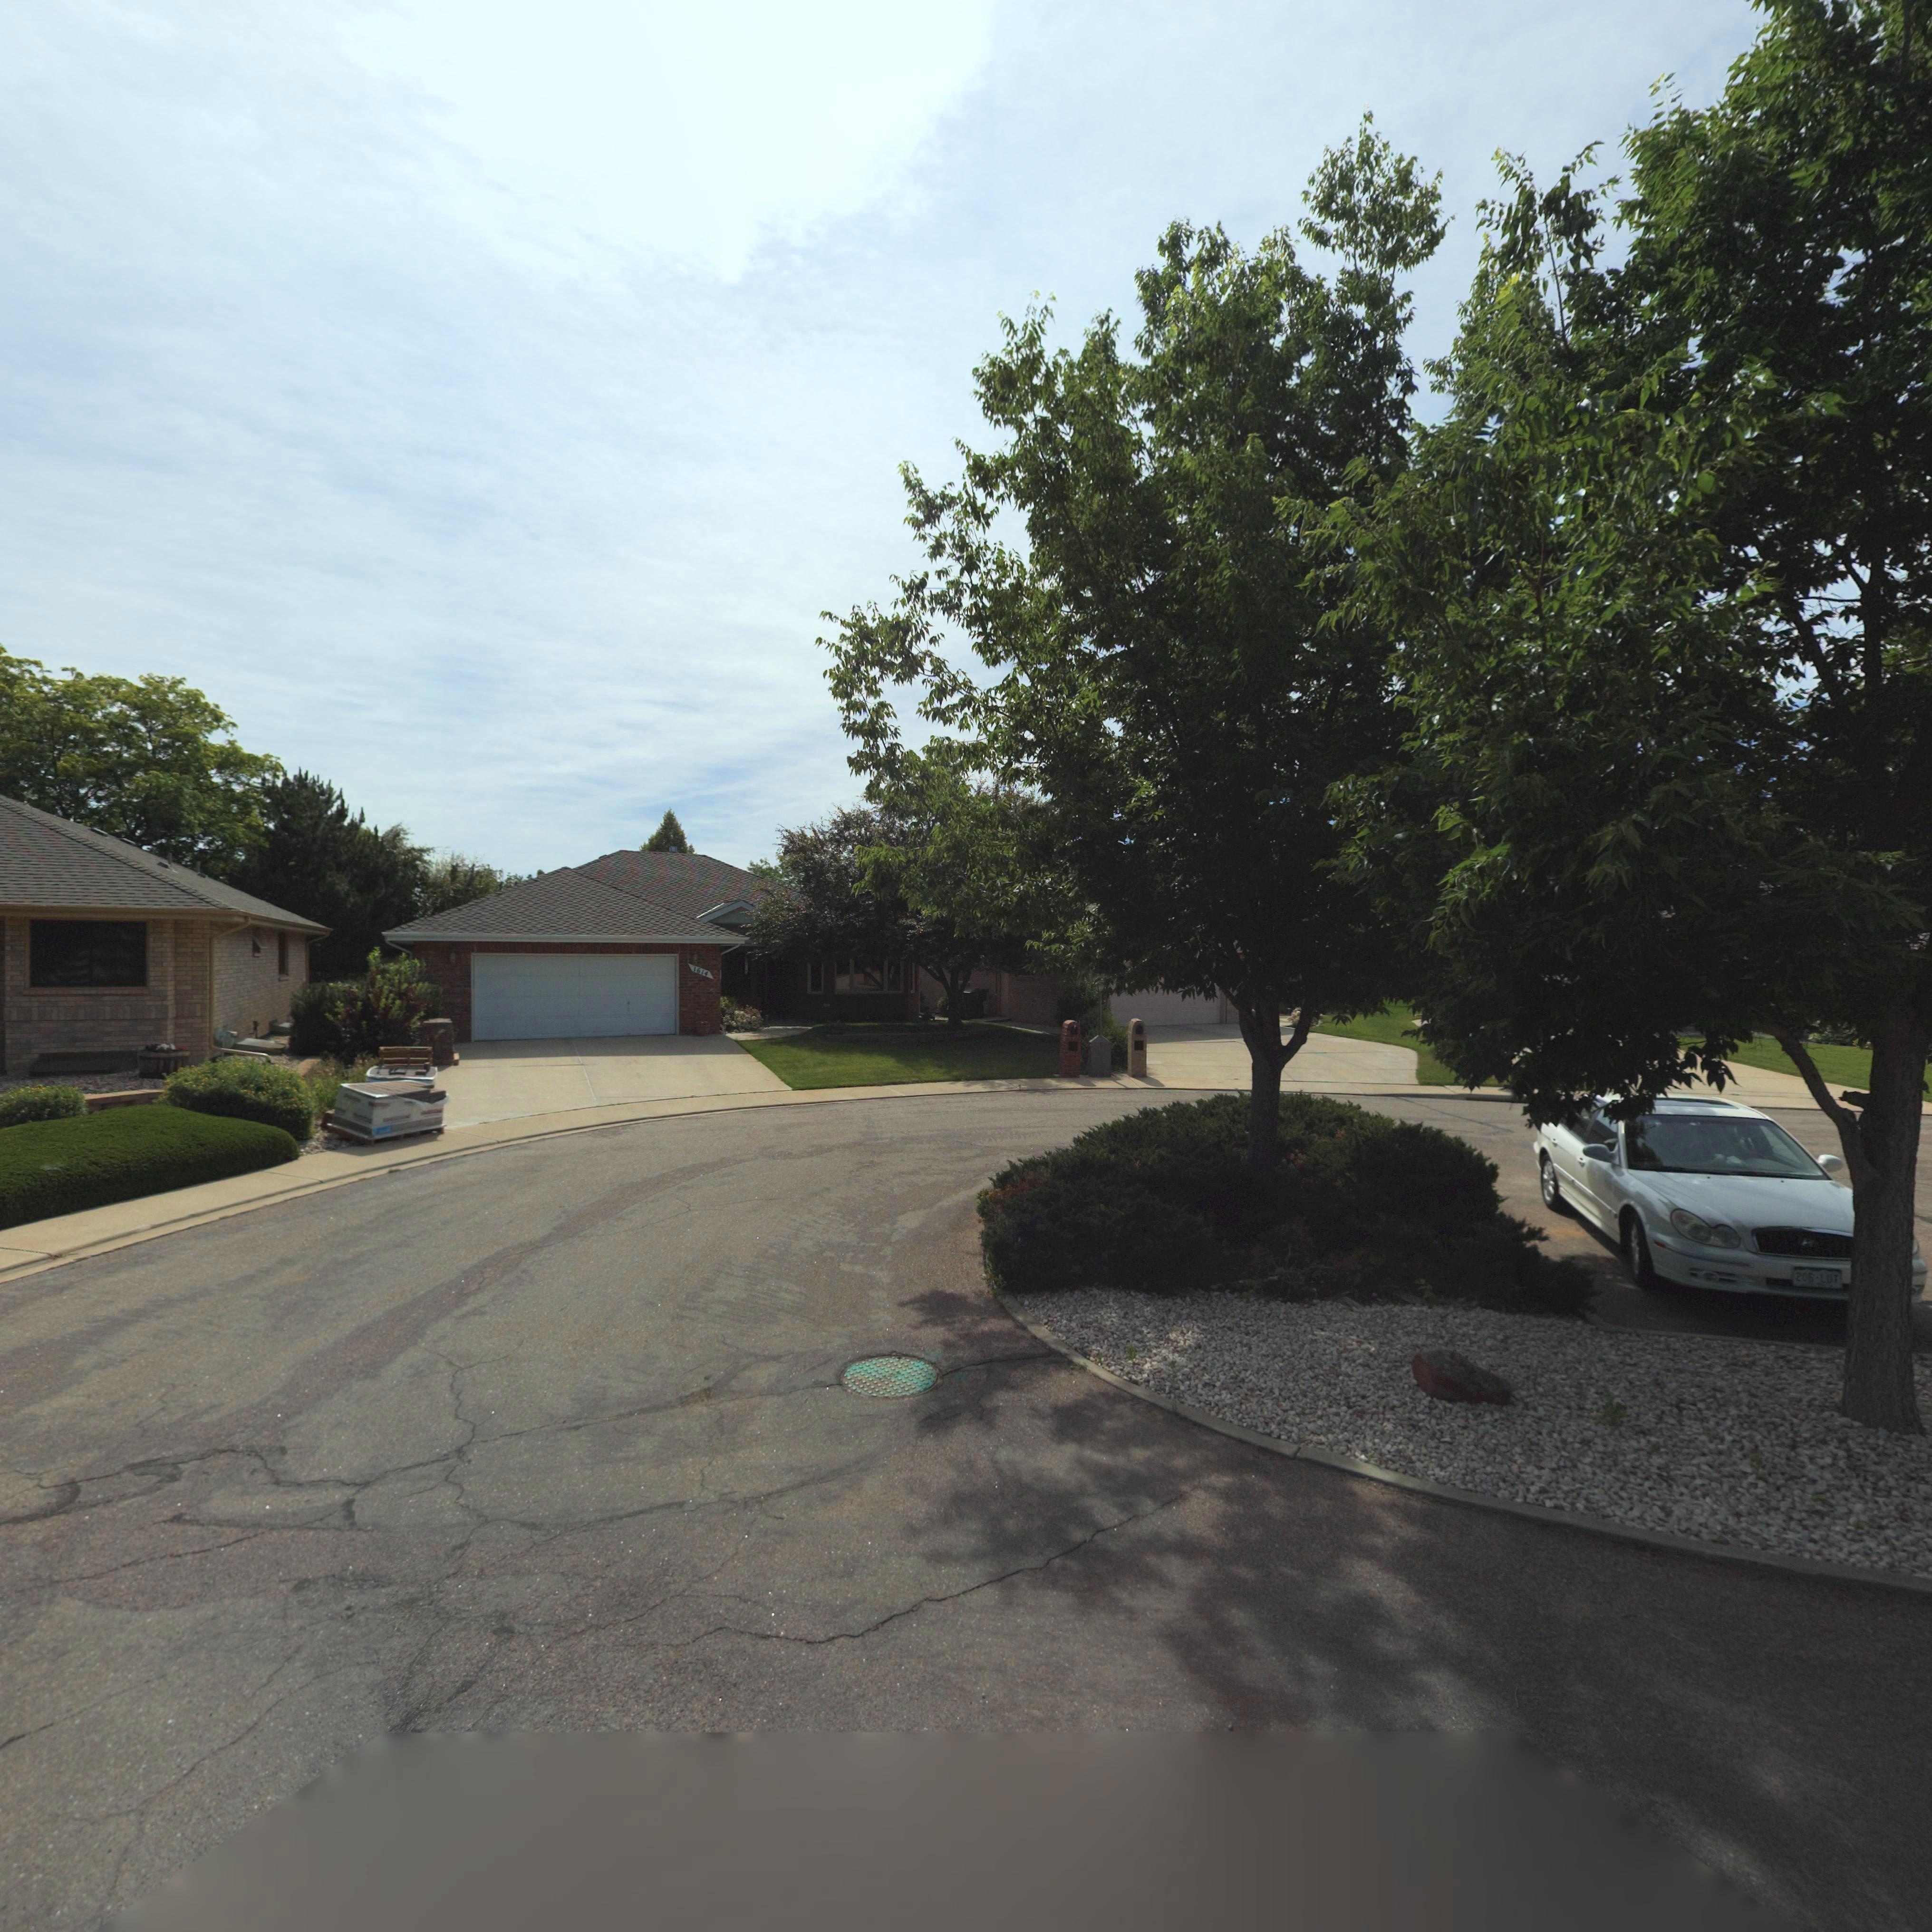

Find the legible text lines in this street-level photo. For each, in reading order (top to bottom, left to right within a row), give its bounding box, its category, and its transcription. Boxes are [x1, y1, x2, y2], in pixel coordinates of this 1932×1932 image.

[693, 966, 708, 976] StreetNumber: 1614